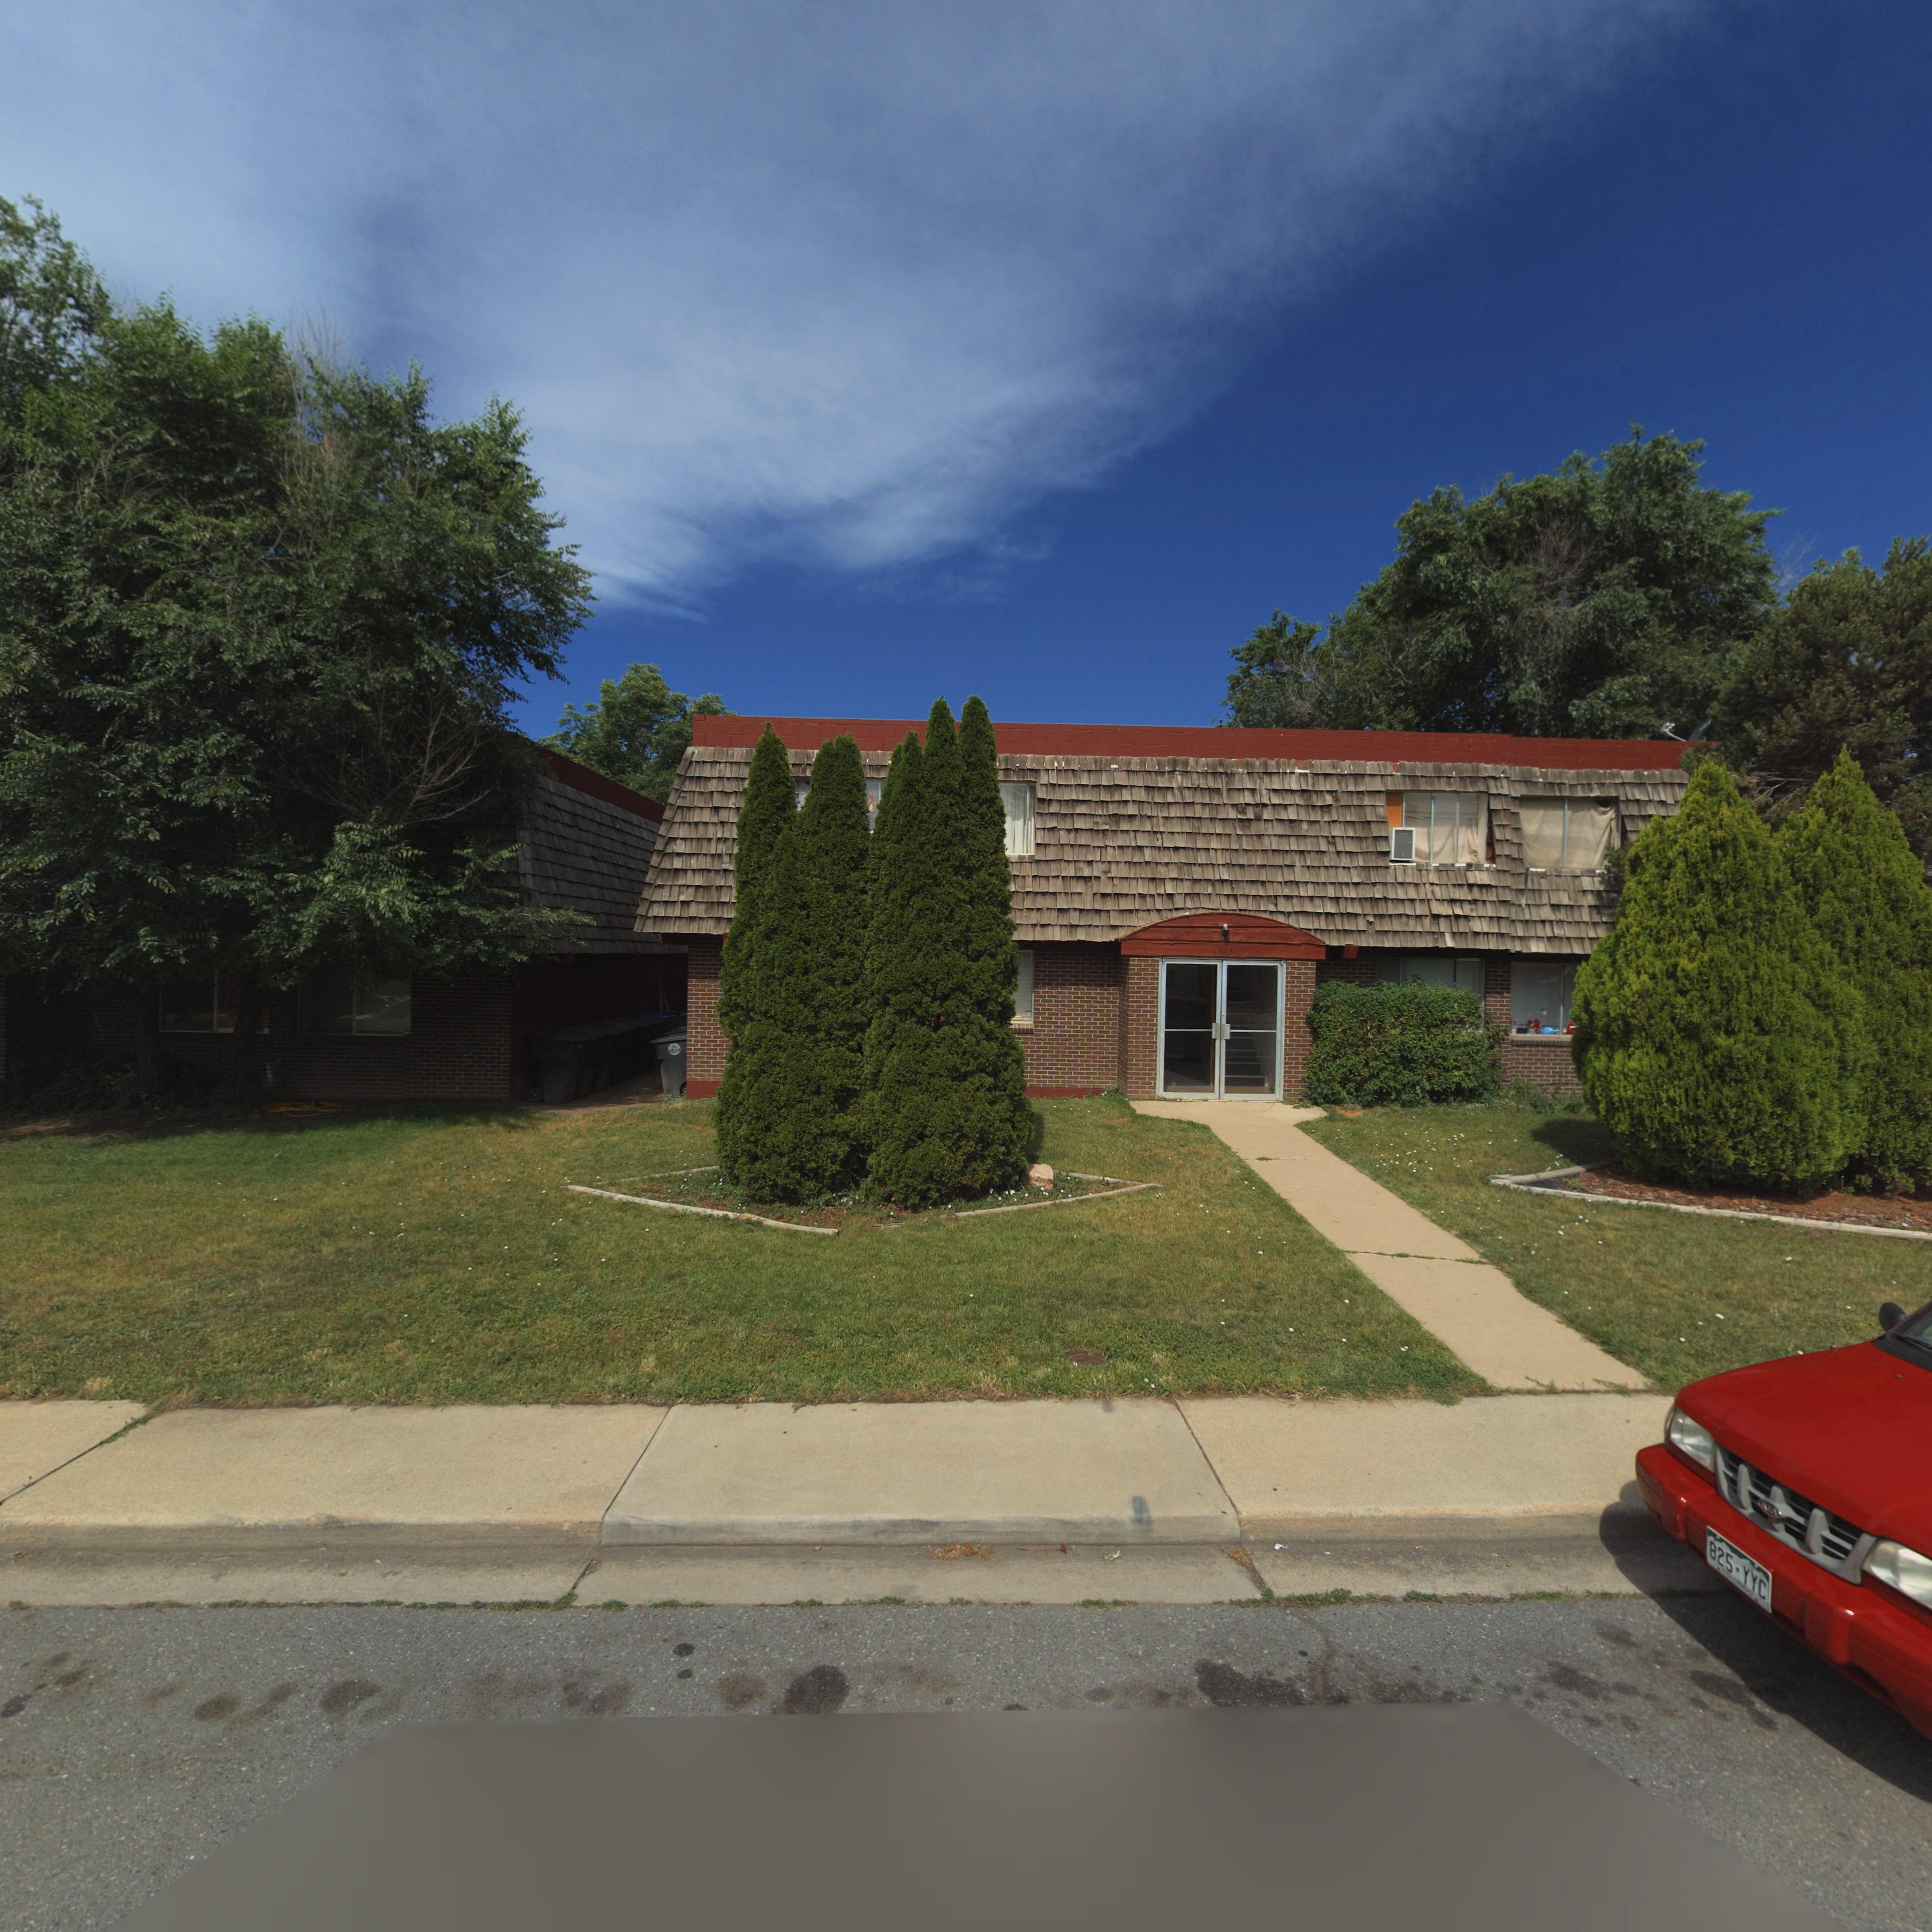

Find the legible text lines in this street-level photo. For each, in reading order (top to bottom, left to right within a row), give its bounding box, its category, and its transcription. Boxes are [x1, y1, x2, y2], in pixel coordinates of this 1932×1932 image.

[1213, 947, 1233, 955] StreetNumber: 1315